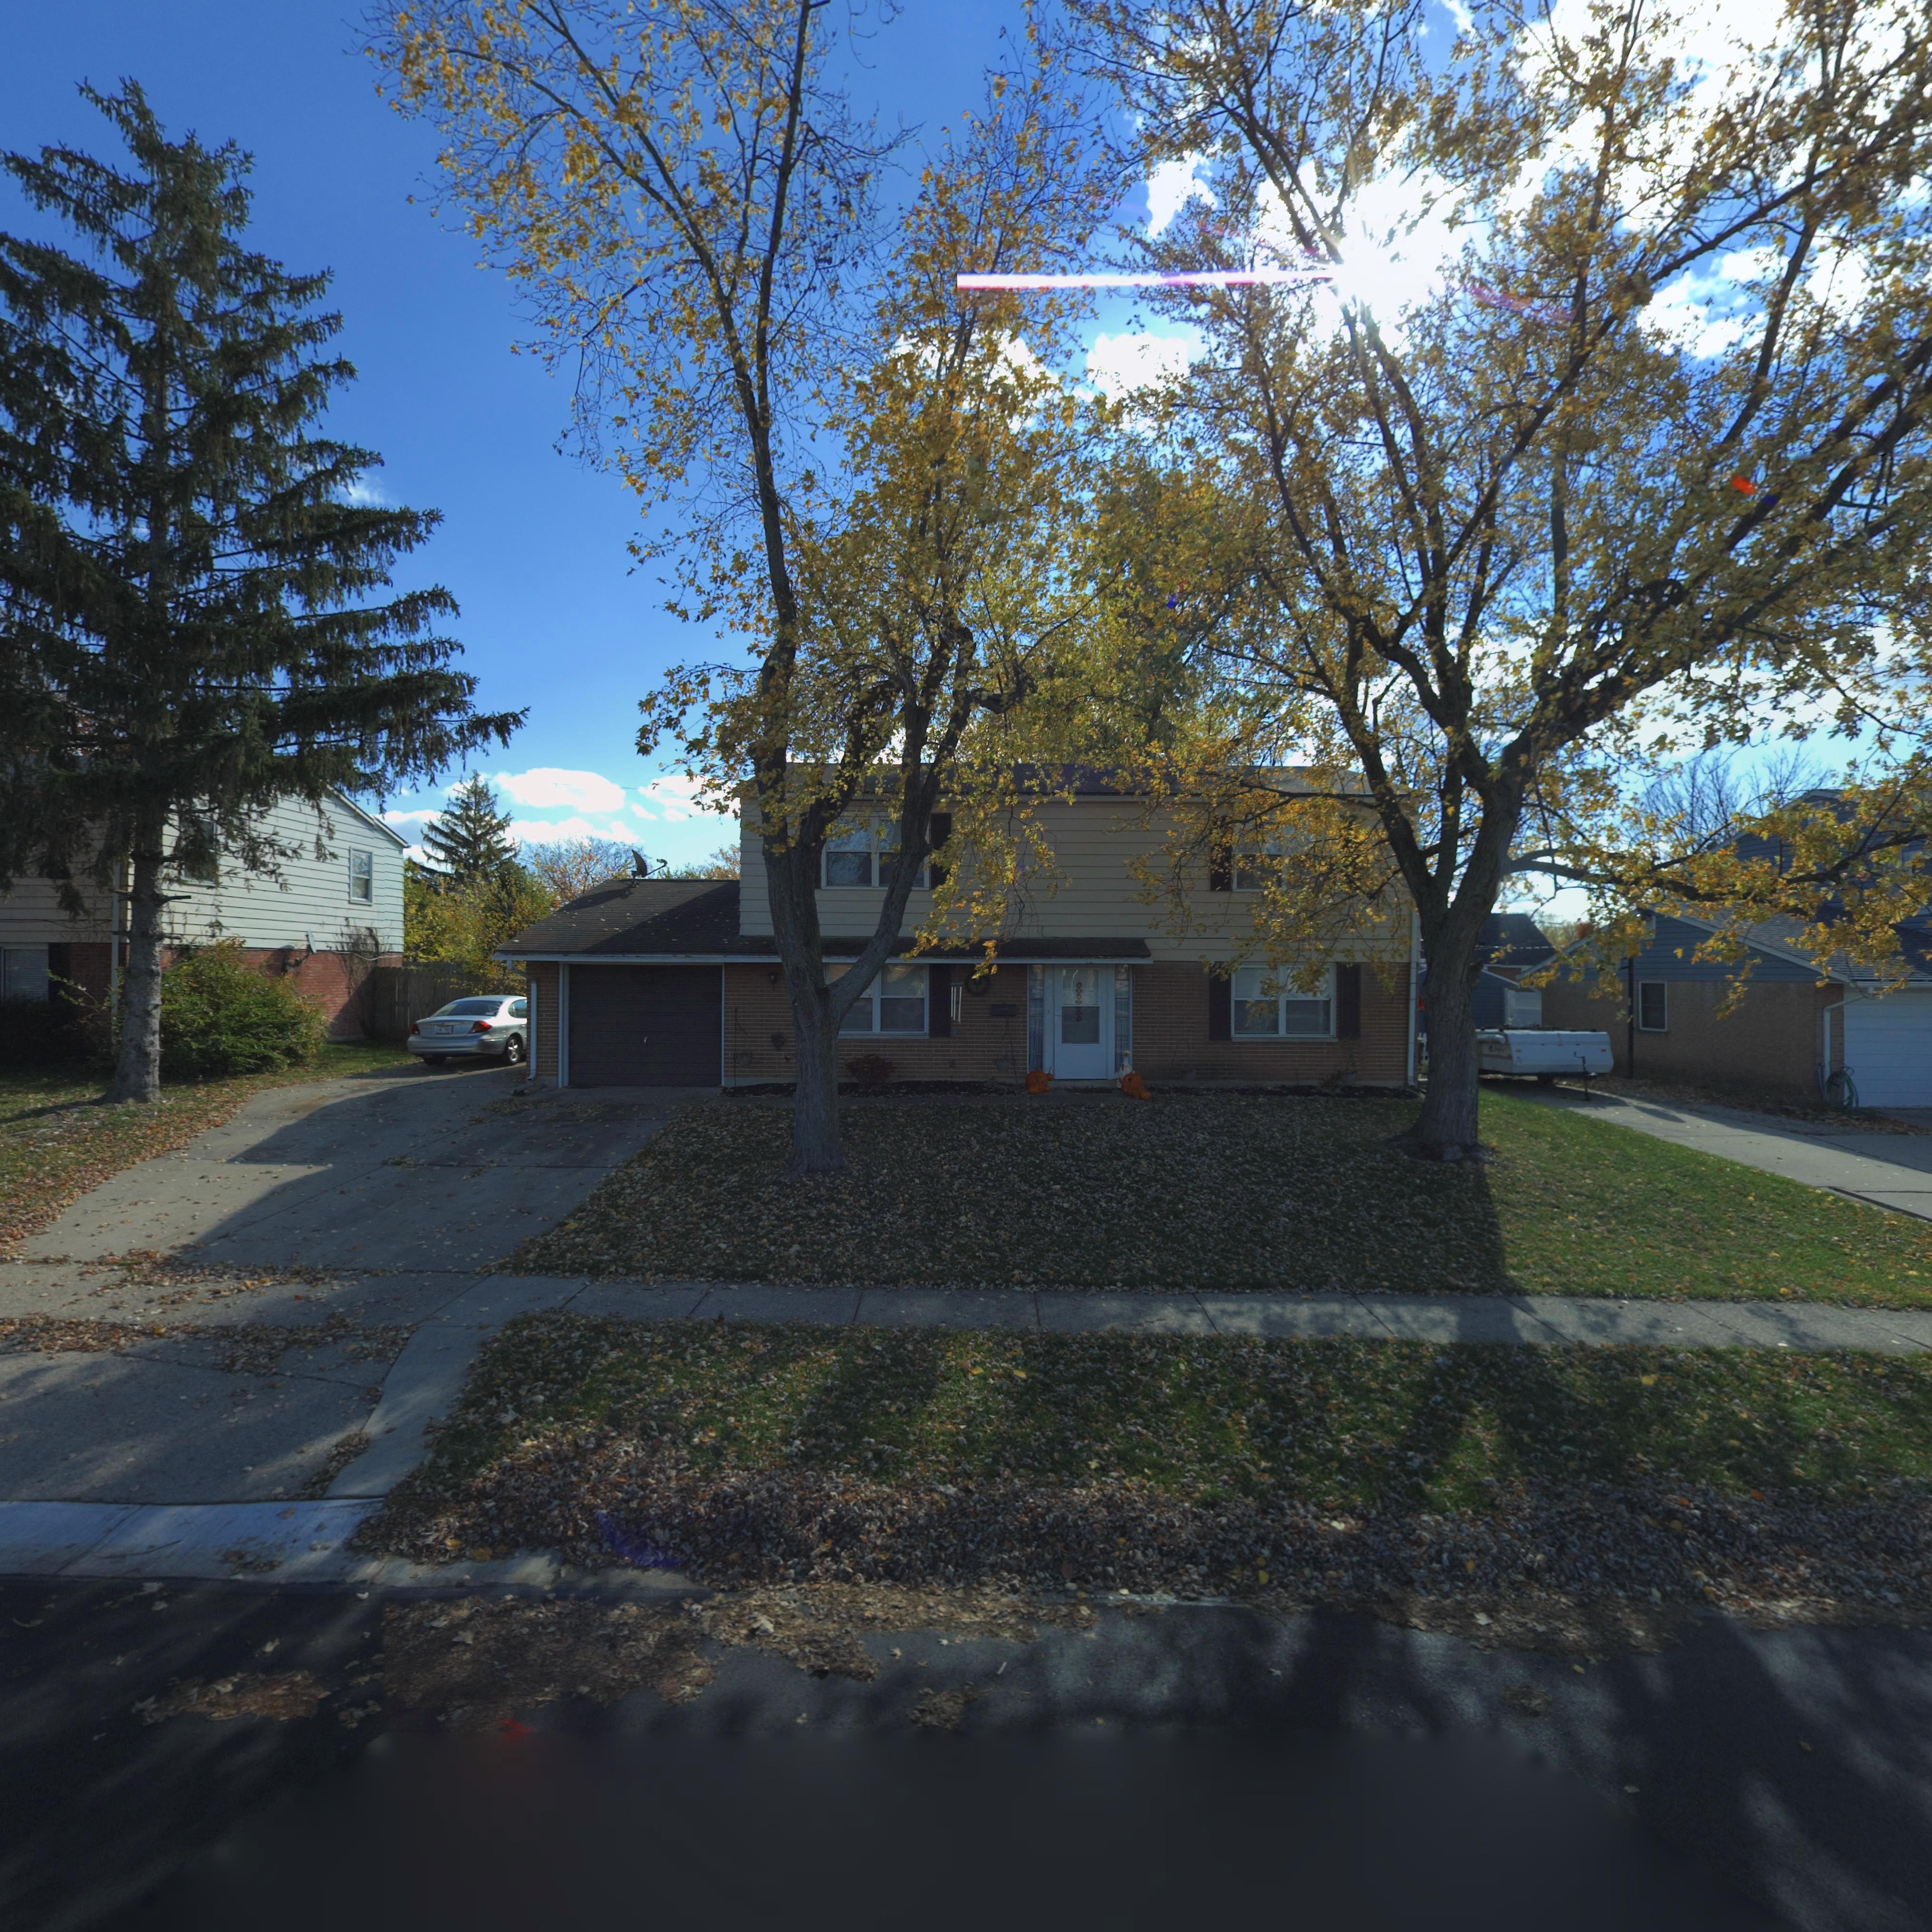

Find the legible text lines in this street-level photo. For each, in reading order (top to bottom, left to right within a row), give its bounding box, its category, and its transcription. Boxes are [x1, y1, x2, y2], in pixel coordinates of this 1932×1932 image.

[1046, 979, 1053, 1008] StreetNumber: 7**0